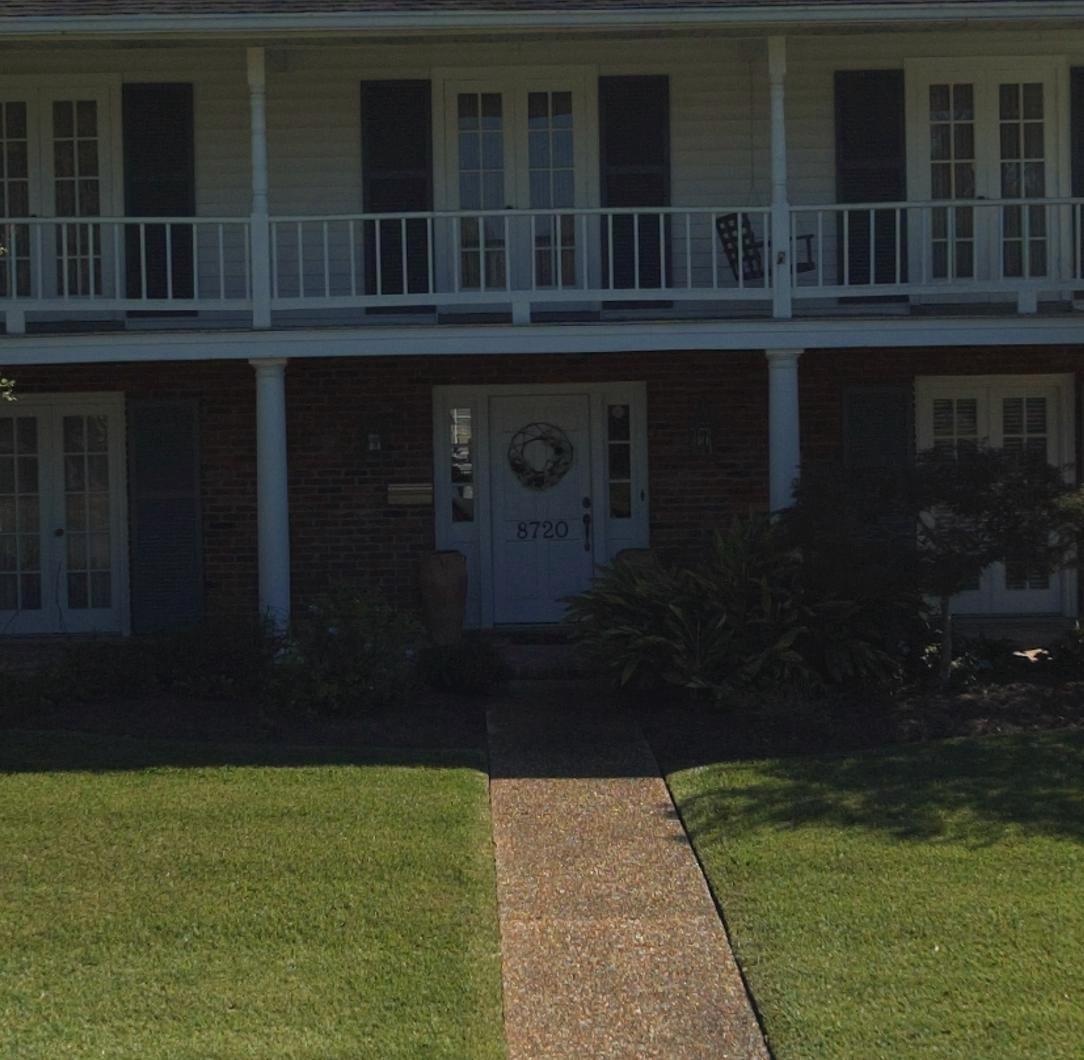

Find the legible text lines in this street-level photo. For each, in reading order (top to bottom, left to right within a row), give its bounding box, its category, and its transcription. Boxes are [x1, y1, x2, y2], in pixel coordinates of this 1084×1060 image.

[516, 519, 569, 540] StreetNumber: 8720